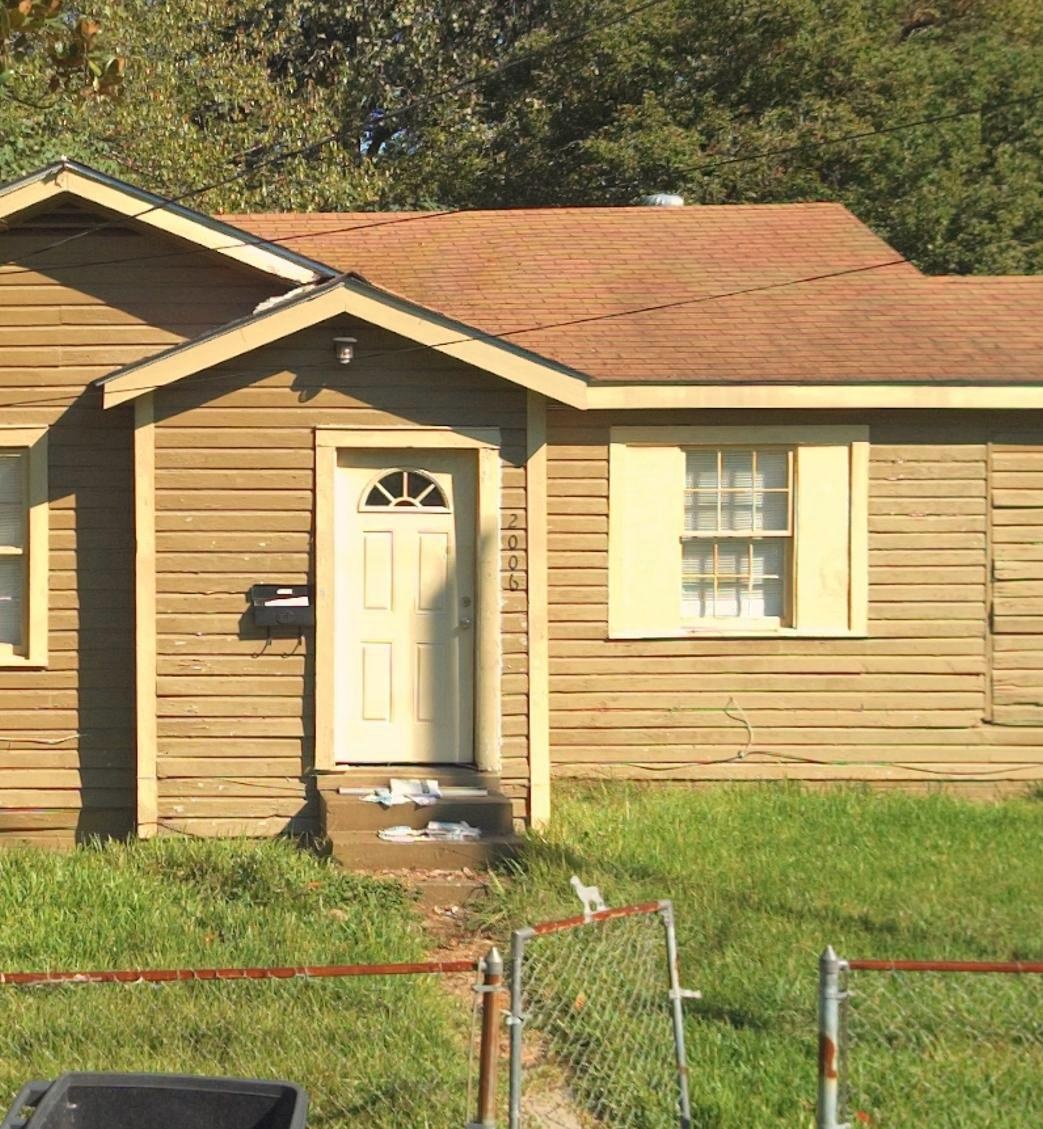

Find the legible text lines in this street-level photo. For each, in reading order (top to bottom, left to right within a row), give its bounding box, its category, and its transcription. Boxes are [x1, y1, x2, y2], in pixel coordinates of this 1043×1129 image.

[506, 512, 520, 592] StreetNumber: 2006